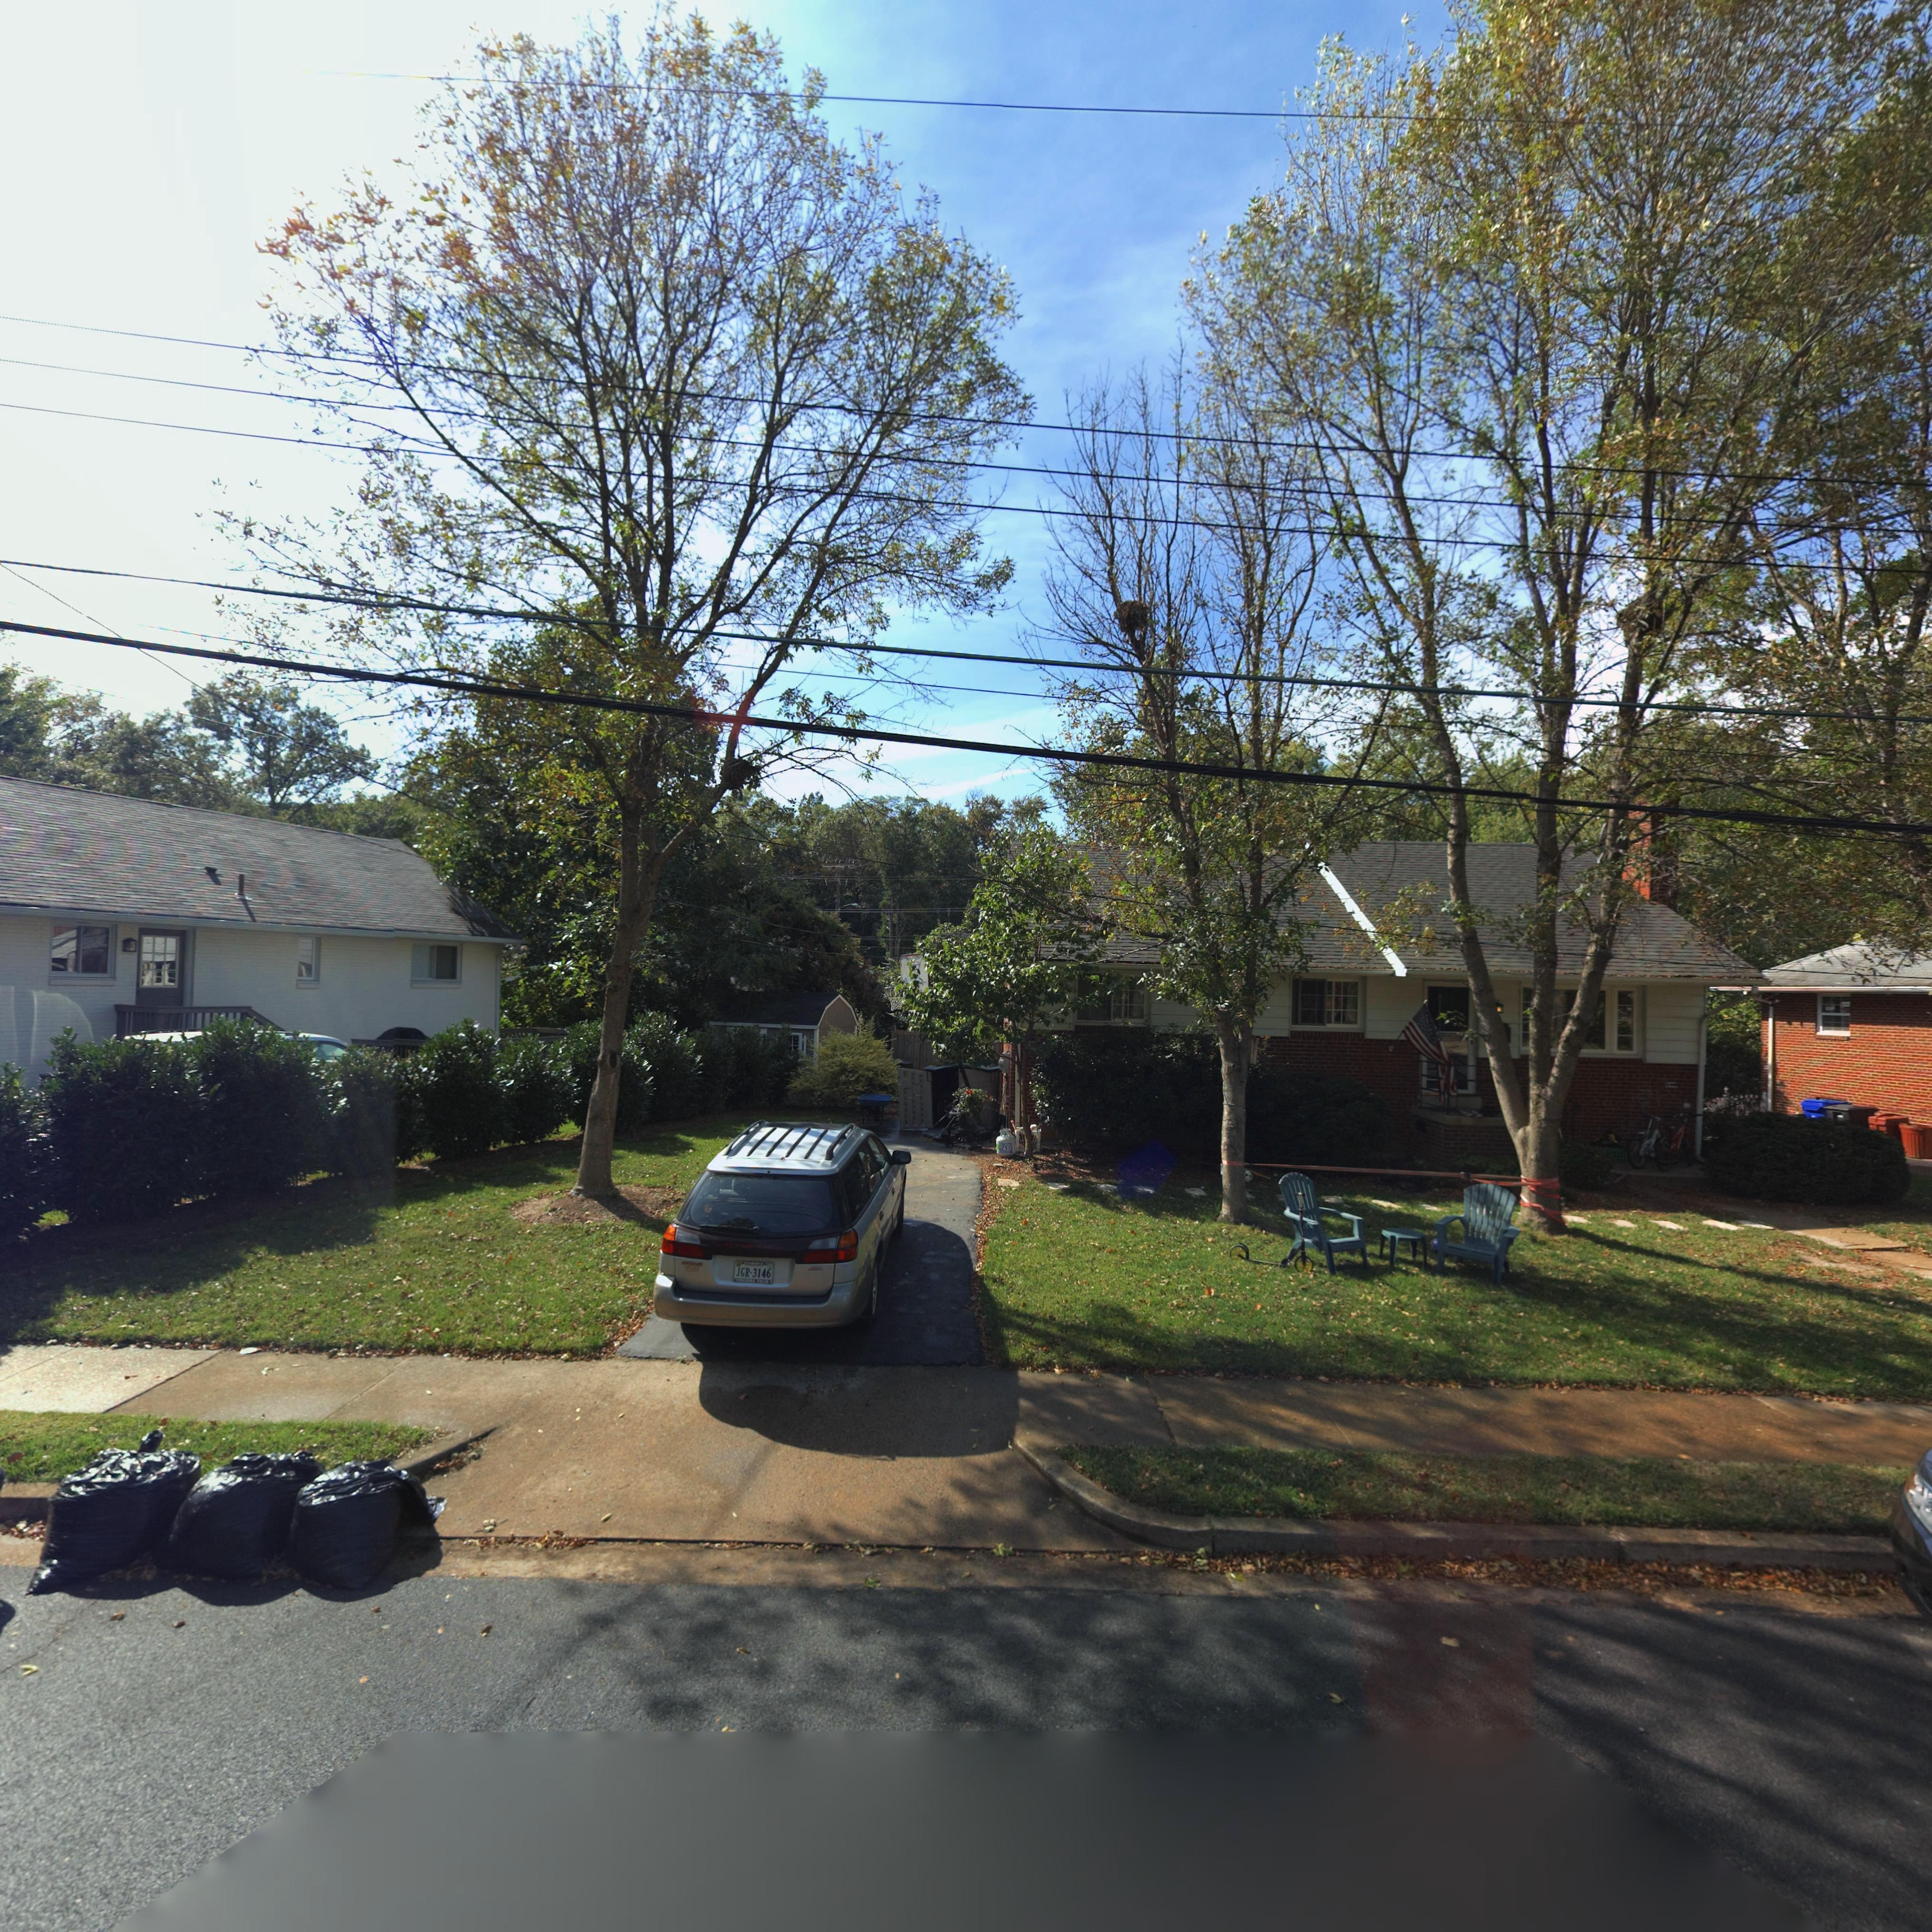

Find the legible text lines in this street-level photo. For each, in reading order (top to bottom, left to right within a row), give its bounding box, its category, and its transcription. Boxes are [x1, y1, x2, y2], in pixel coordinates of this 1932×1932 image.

[734, 1265, 773, 1280] None: JGR-3146